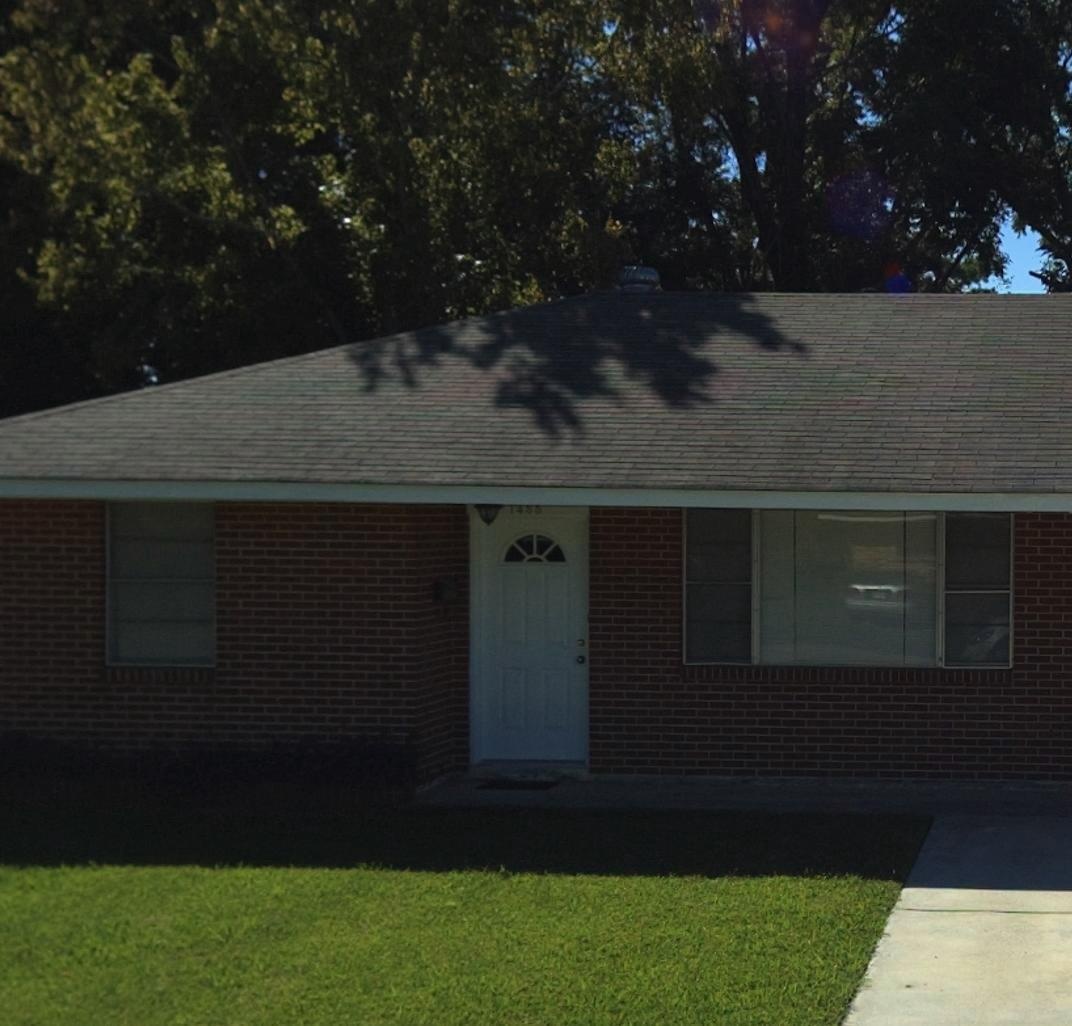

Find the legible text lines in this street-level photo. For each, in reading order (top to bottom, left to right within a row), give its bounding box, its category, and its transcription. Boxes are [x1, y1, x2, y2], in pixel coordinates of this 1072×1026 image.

[509, 504, 543, 515] StreetNumber: 1455